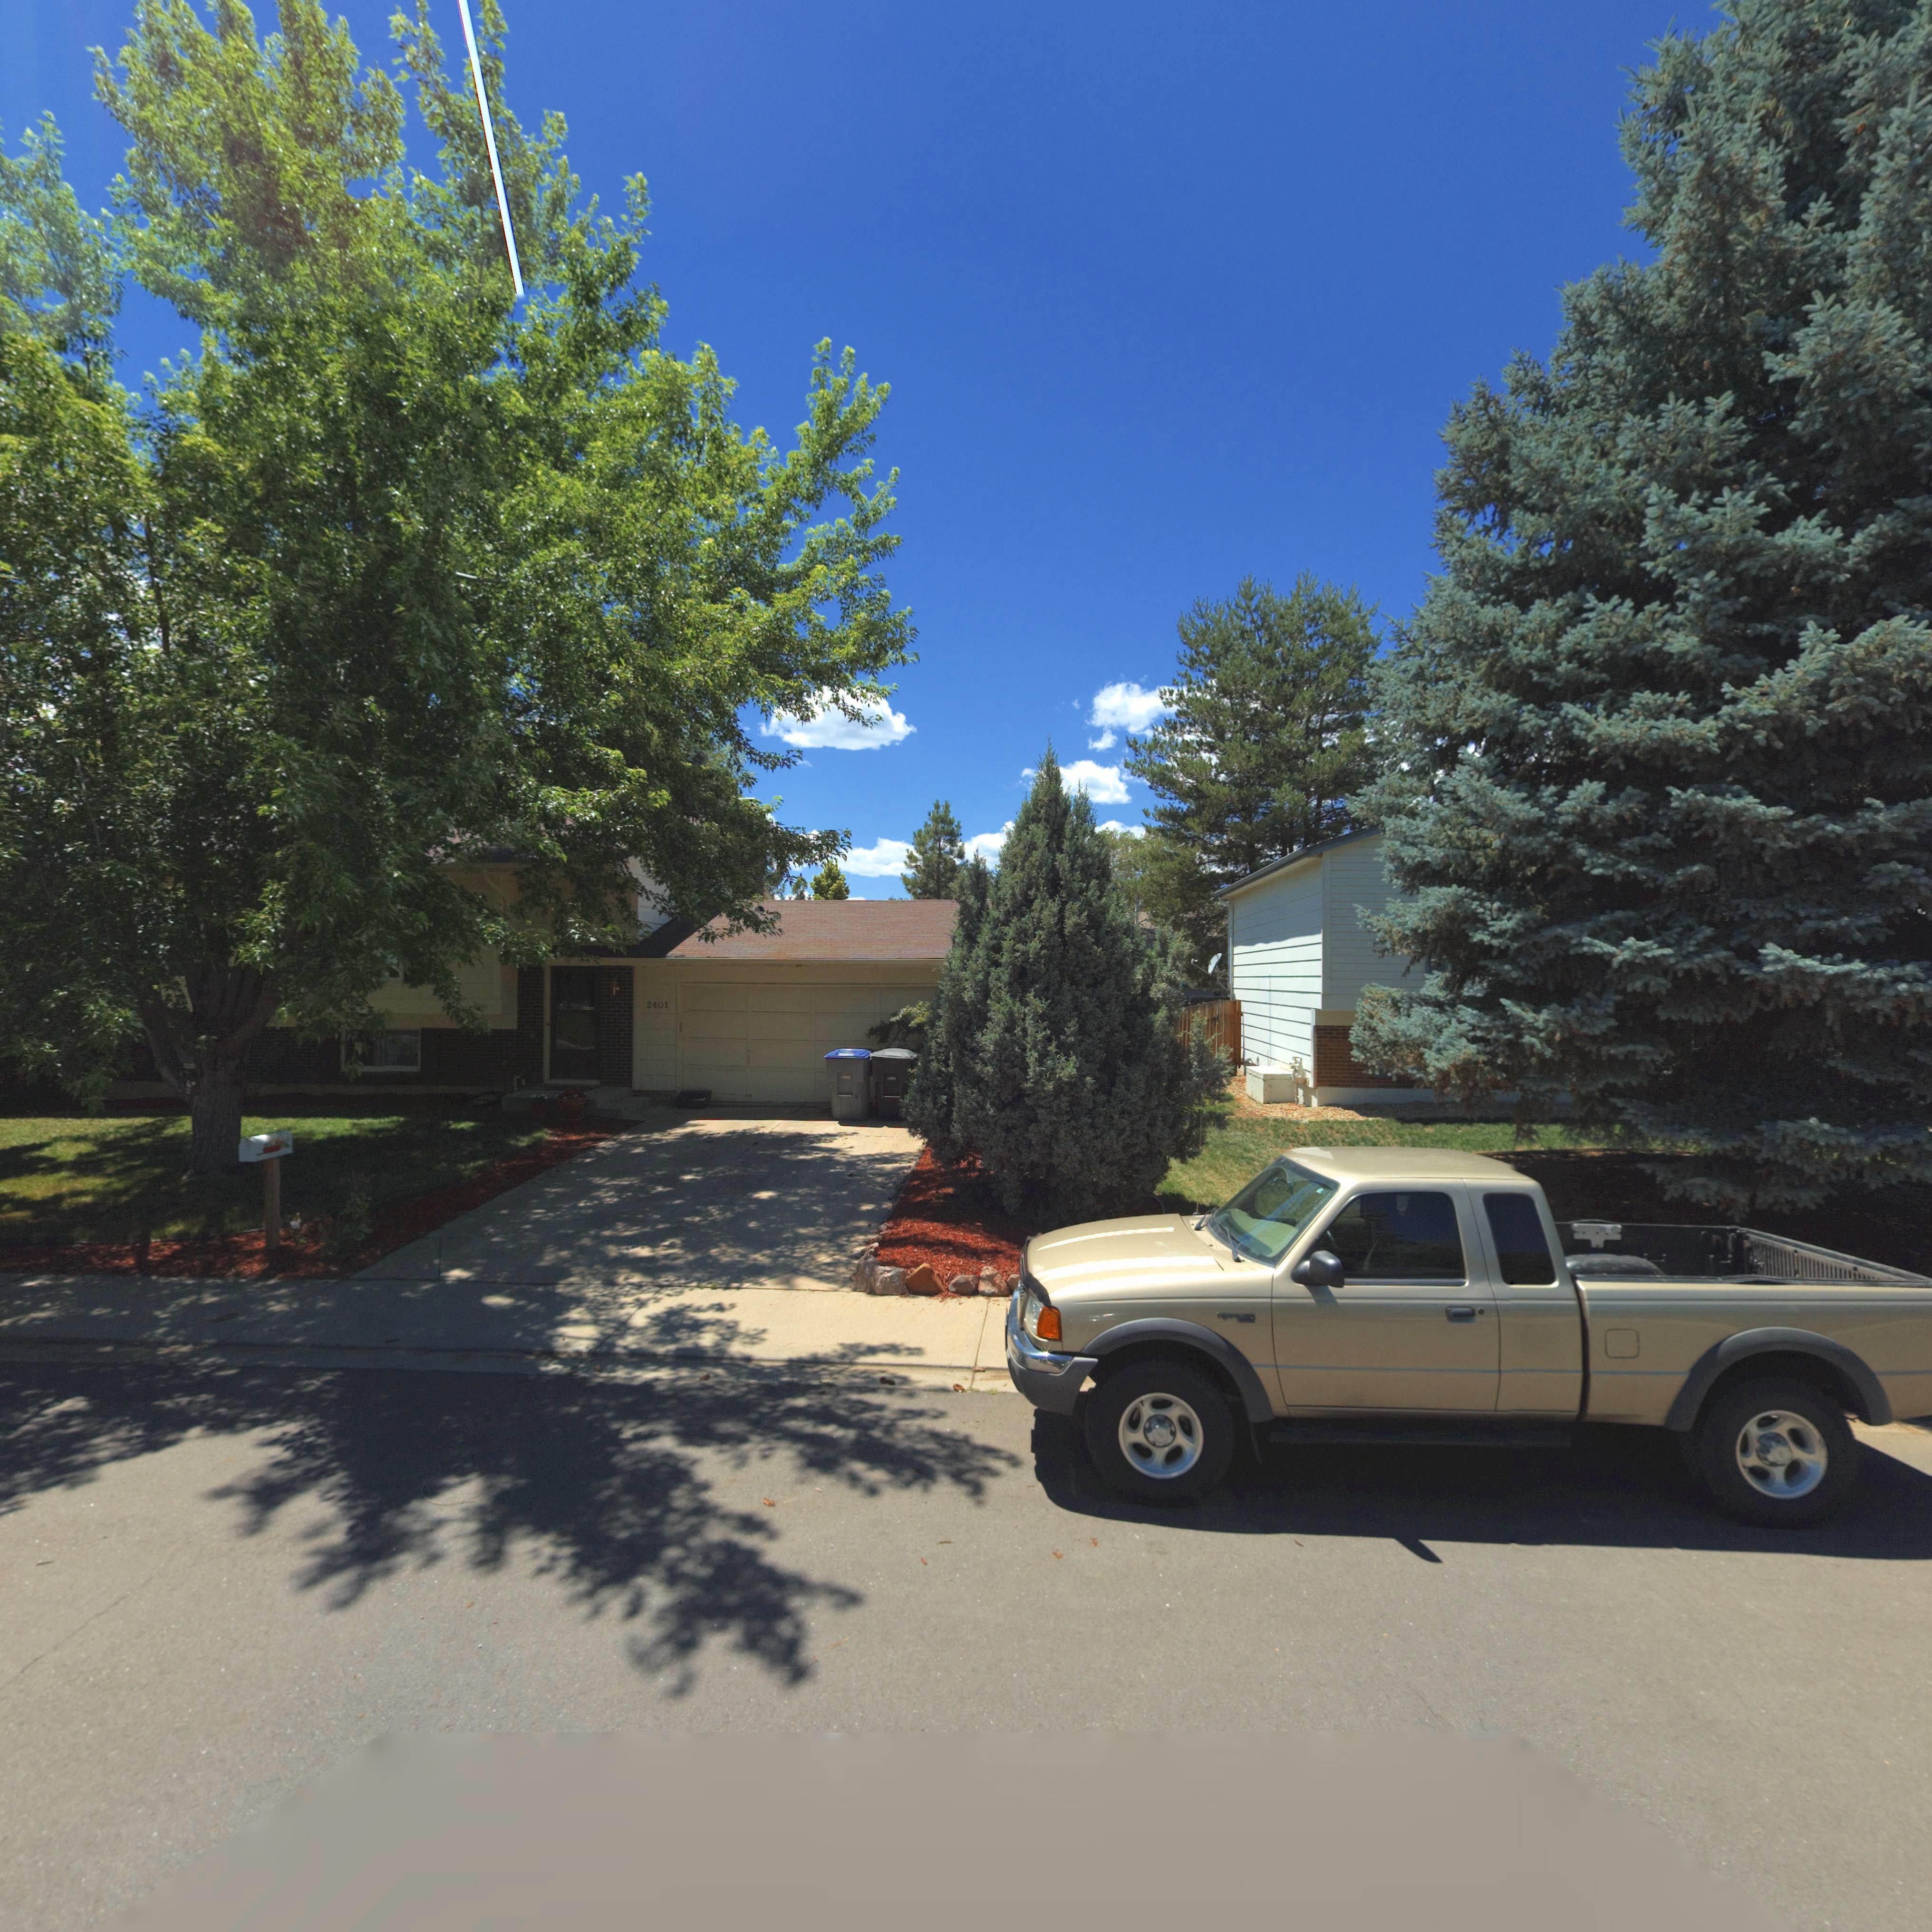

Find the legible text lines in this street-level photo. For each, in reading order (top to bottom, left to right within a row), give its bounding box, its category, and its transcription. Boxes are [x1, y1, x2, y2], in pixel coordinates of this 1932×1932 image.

[647, 1001, 667, 1008] StreetNumber: 2401